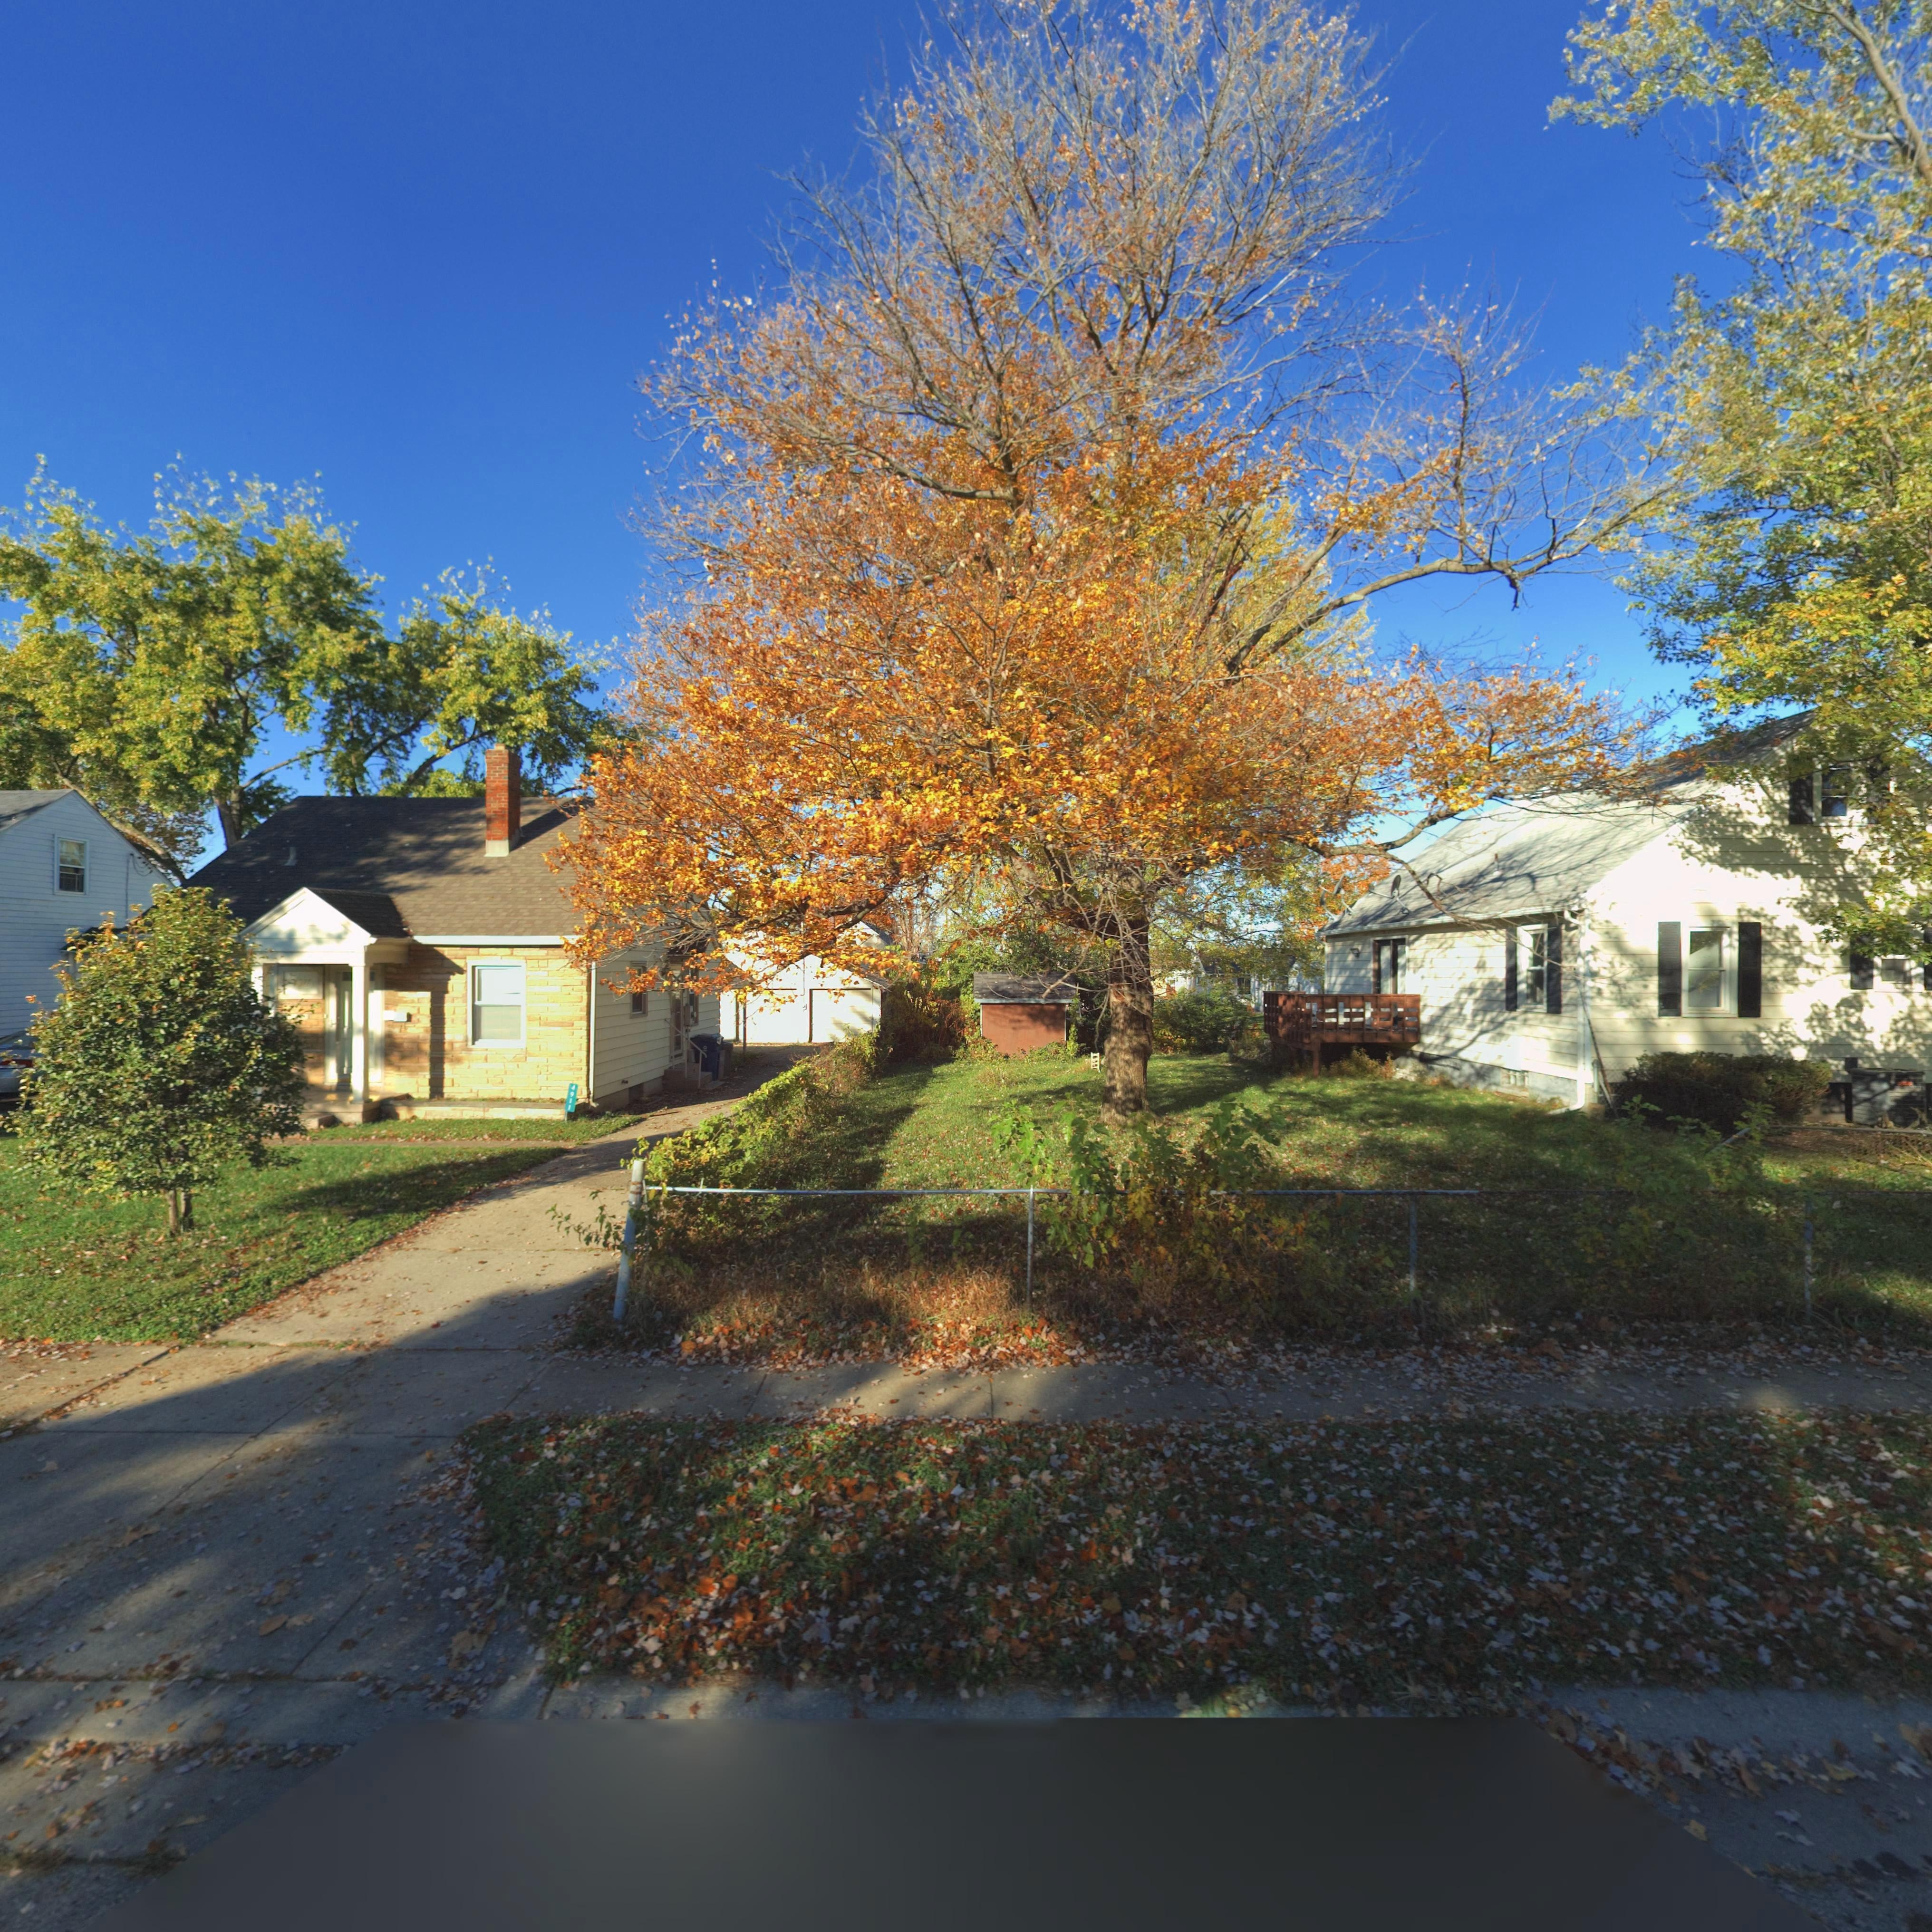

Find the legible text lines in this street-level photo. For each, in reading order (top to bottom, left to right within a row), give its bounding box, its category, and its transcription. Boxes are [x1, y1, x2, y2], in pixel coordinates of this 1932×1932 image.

[567, 1083, 577, 1111] StreetNumber: 4911